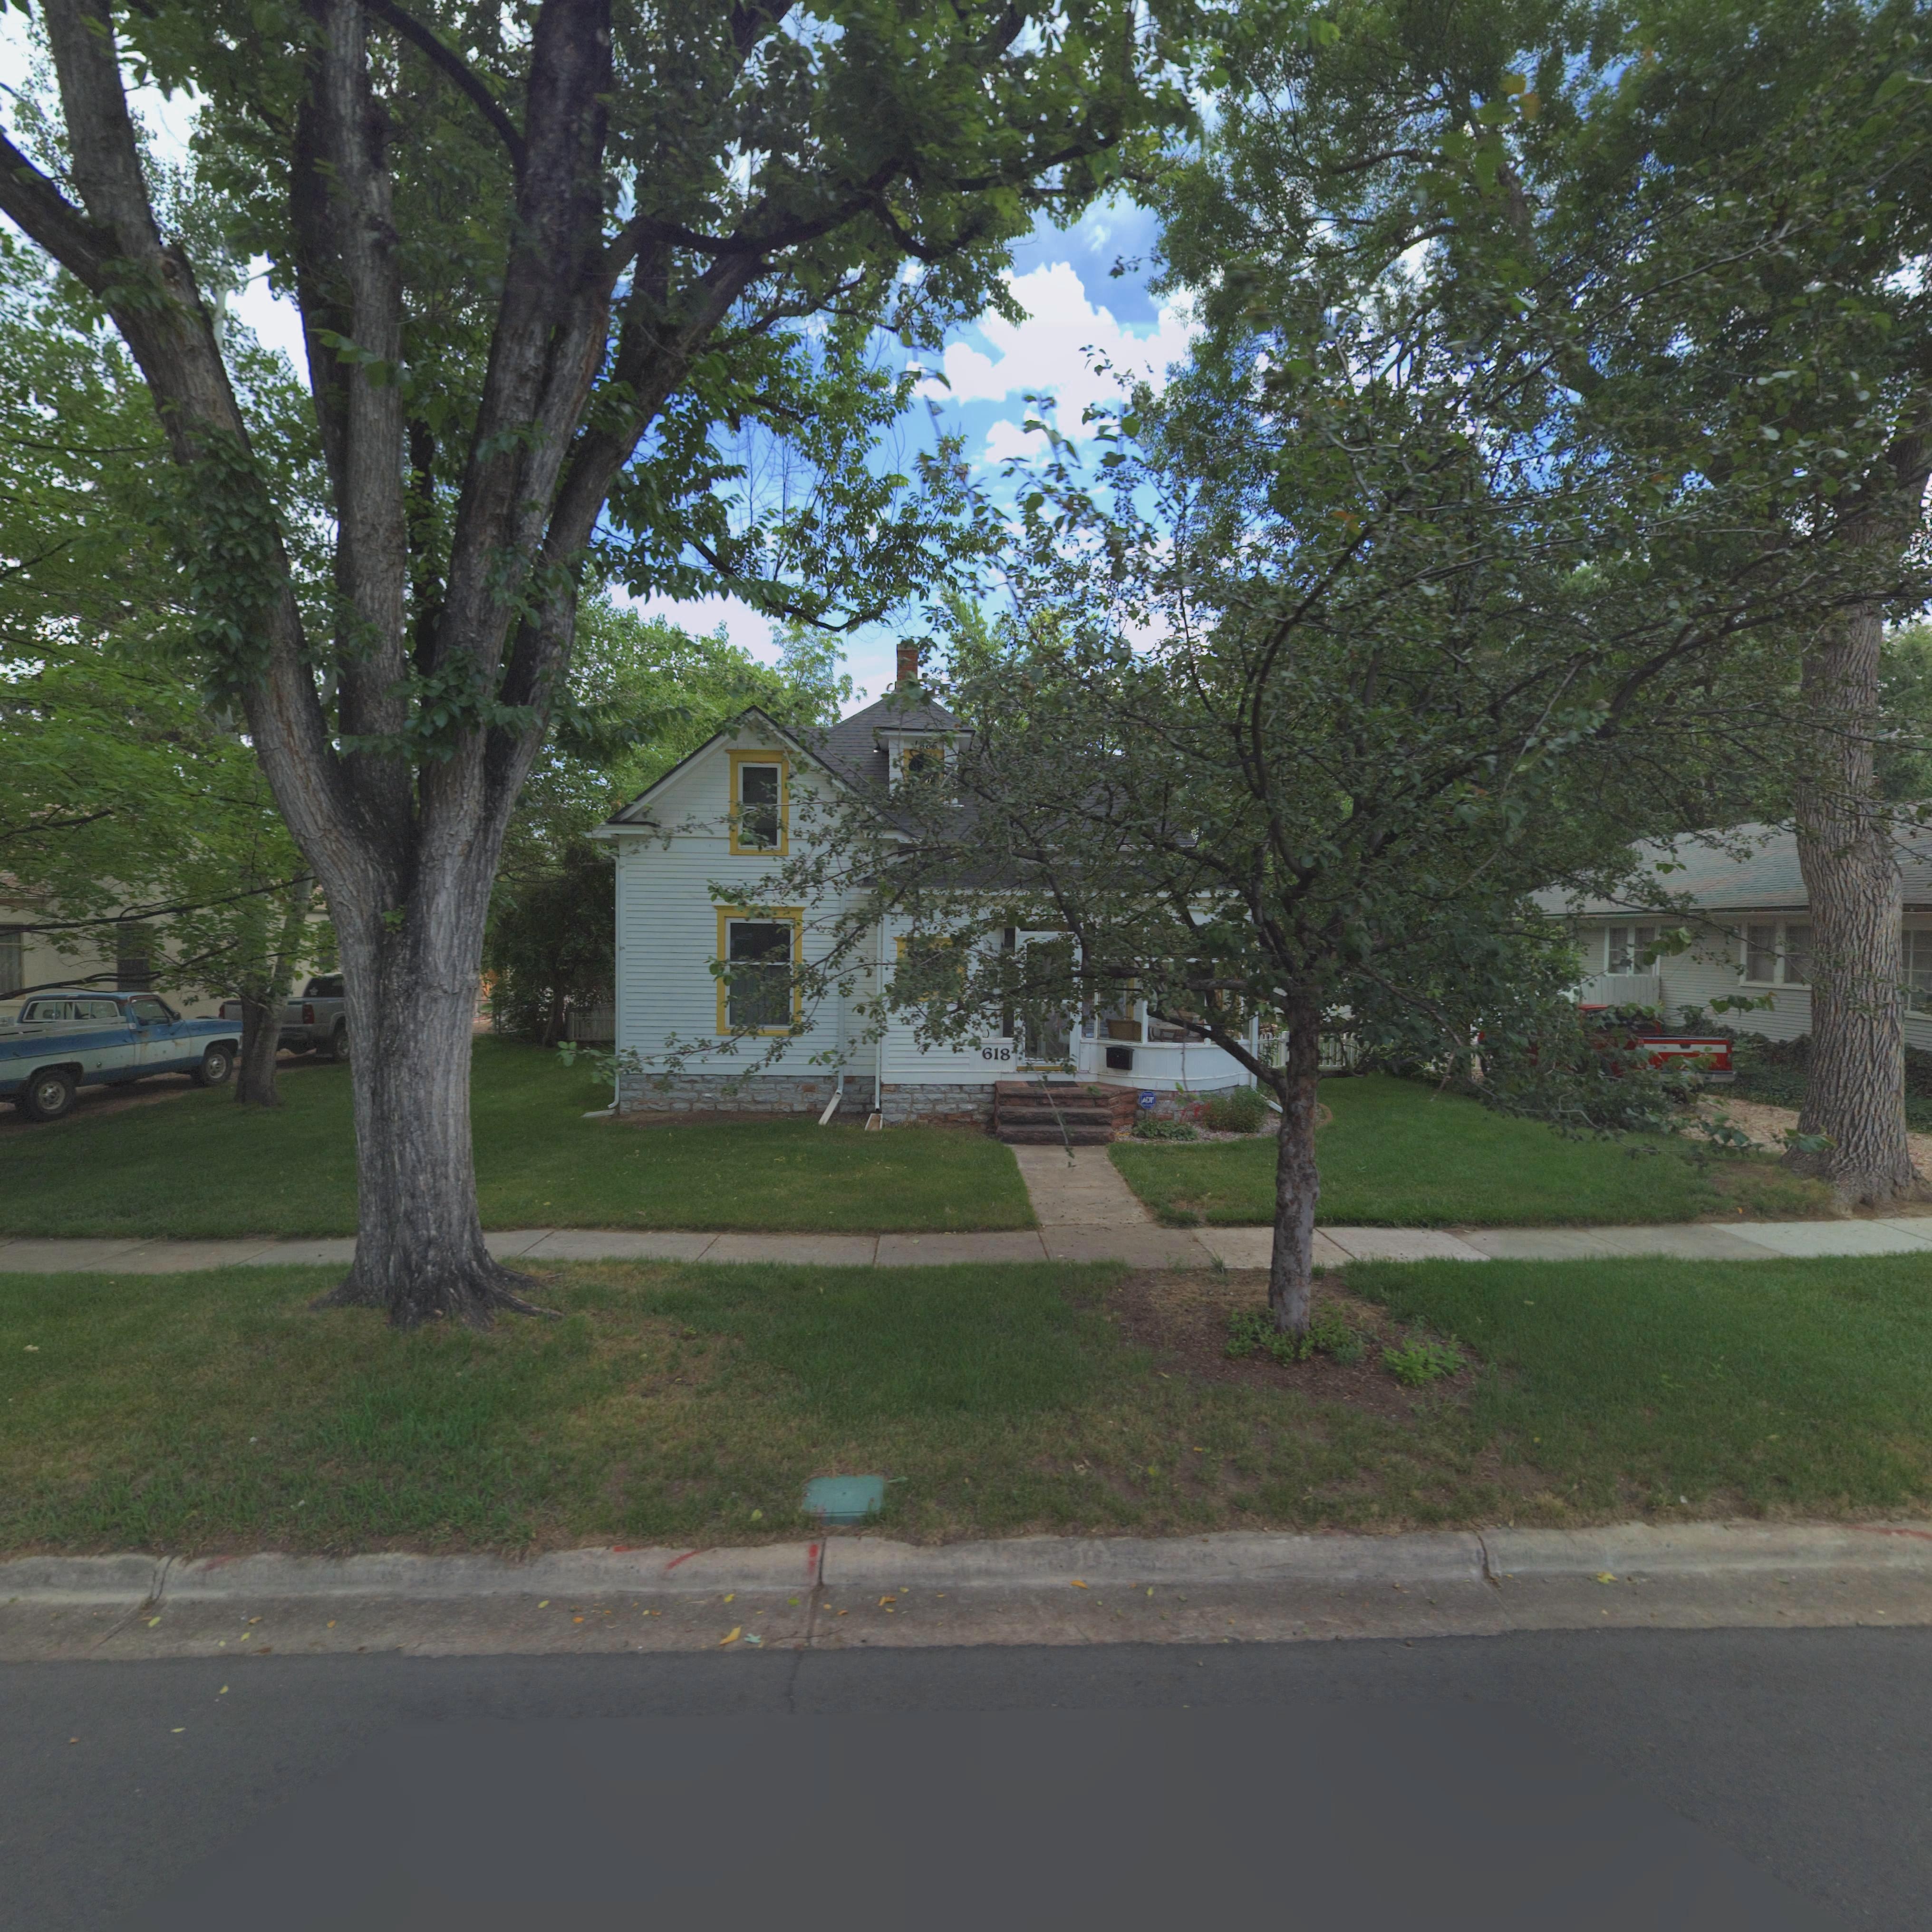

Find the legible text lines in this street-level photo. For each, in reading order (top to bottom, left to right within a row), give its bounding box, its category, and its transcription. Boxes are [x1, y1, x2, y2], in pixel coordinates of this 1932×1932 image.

[981, 1046, 1011, 1061] StreetNumber: 618